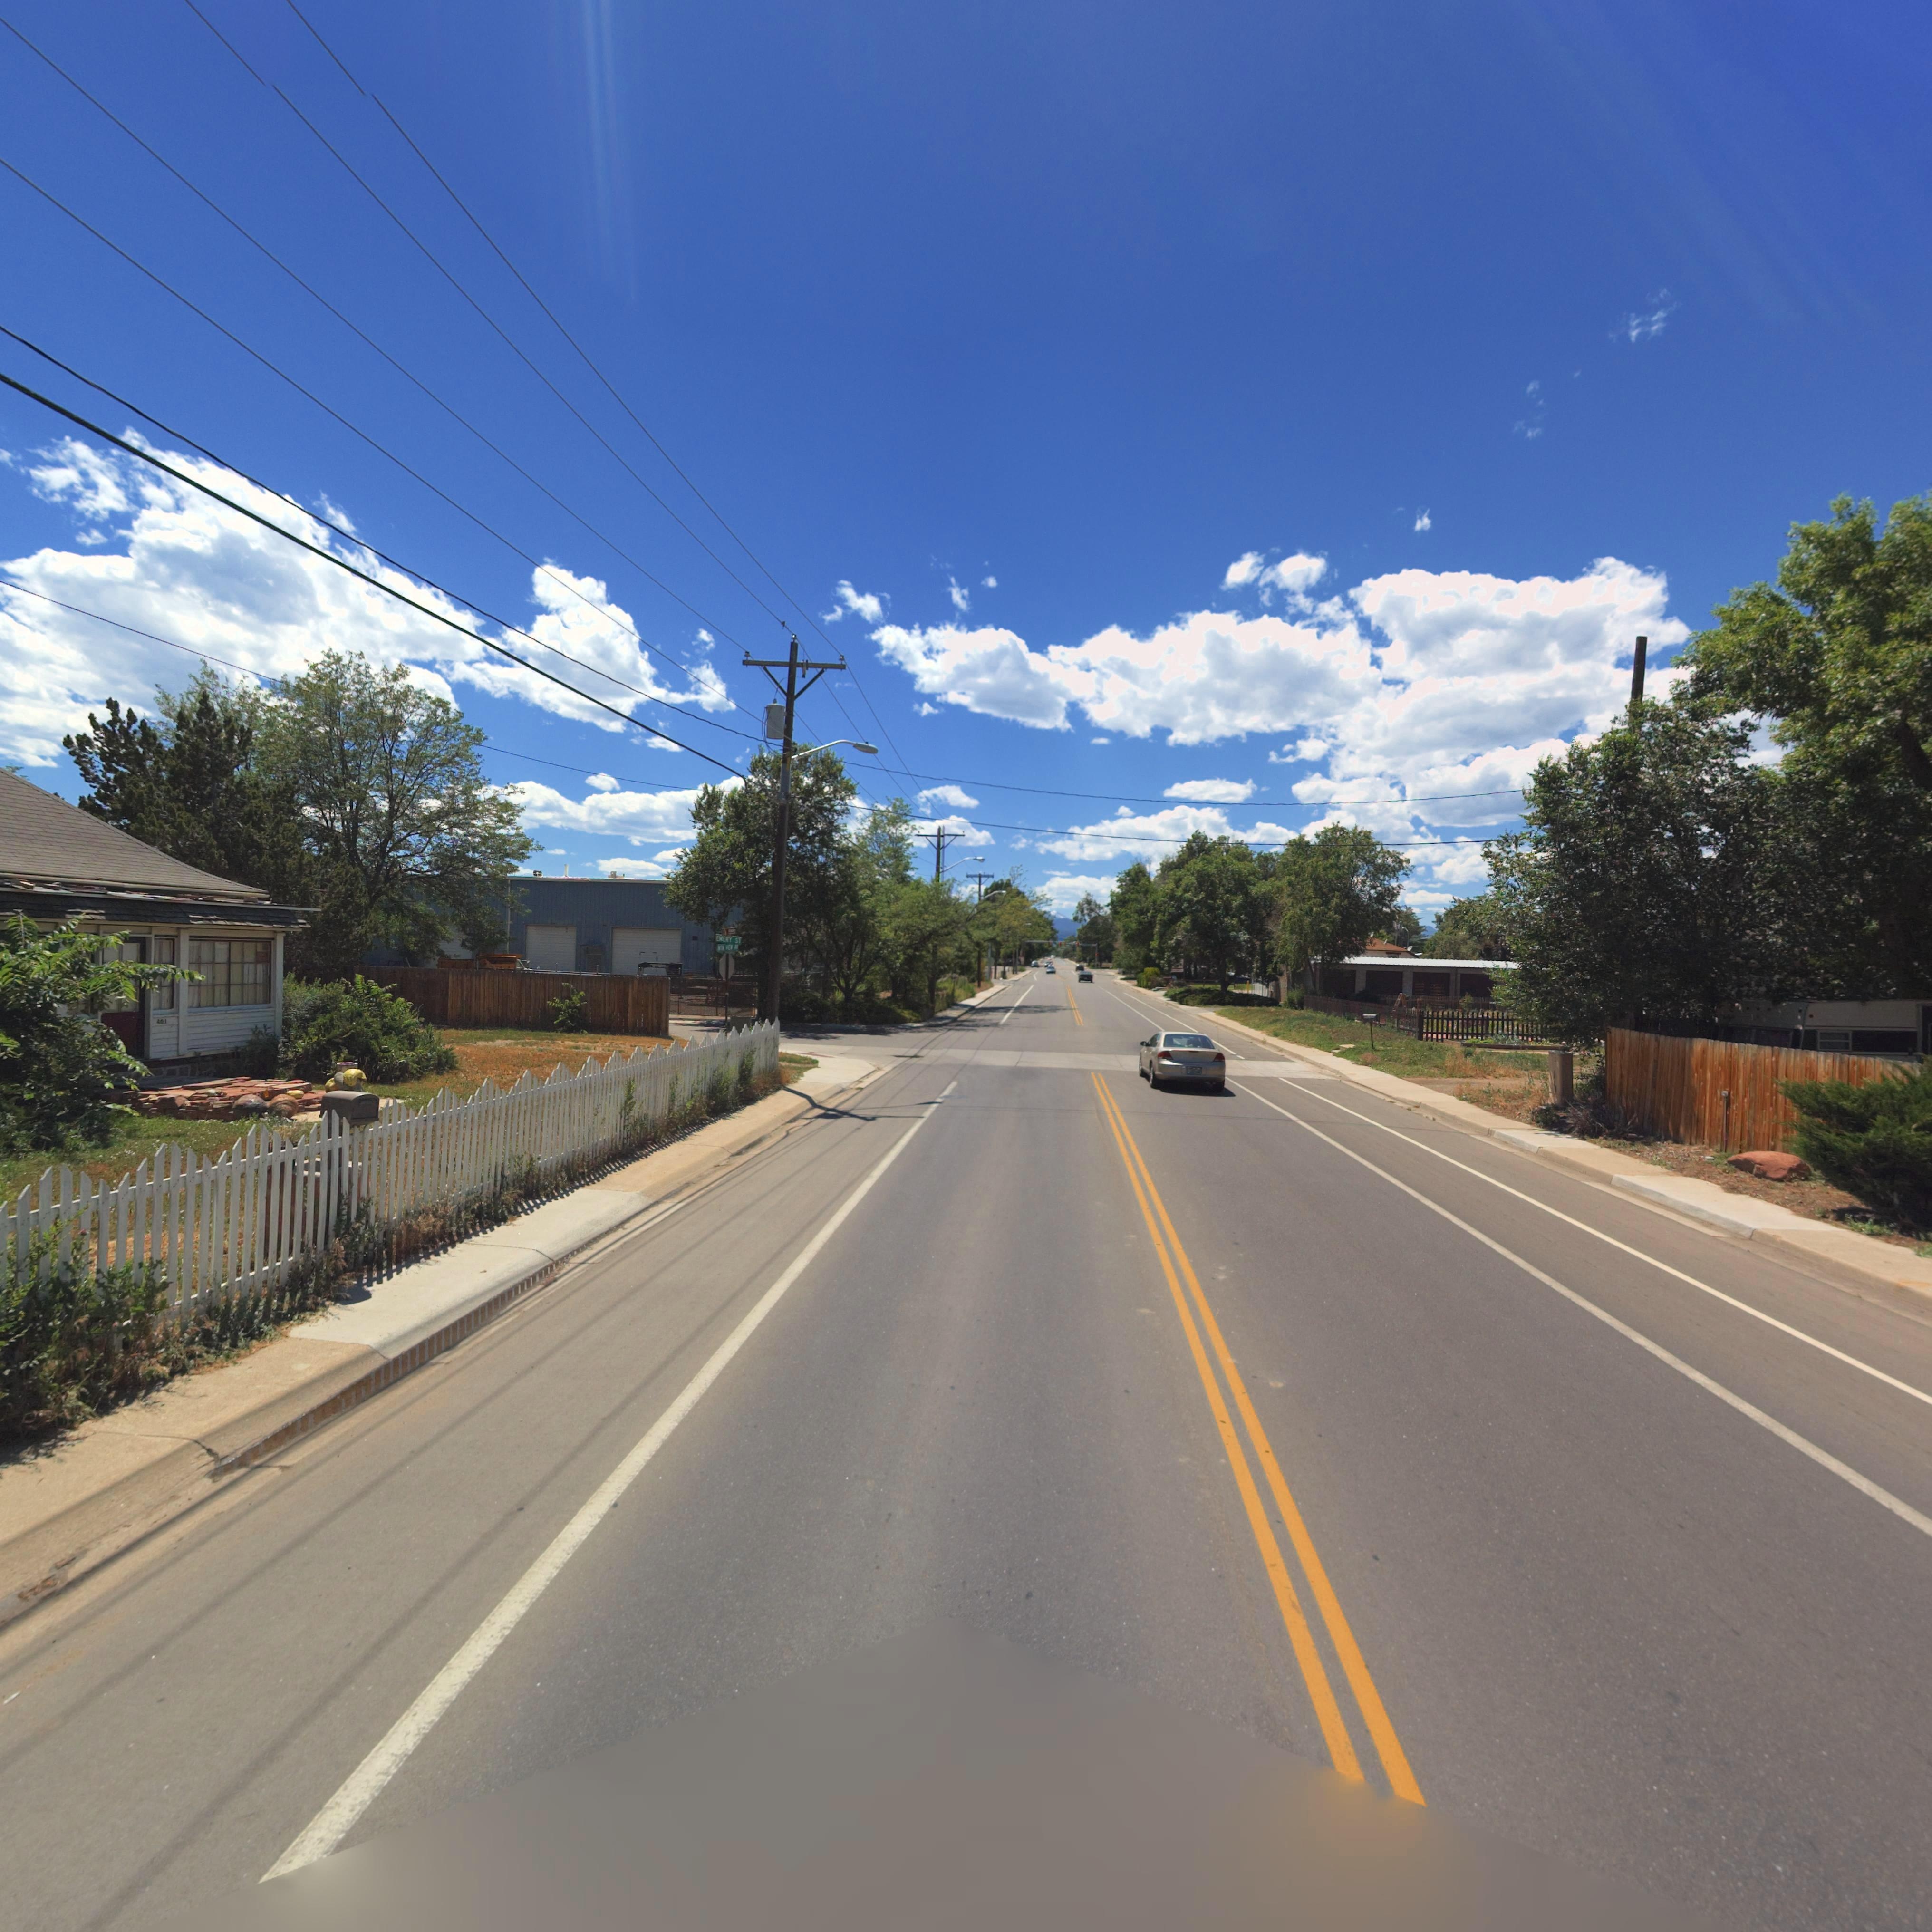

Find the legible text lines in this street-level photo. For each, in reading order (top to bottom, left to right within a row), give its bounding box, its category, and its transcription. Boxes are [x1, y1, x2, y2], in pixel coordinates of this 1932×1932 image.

[715, 935, 741, 944] StreetName: E*ERY ST
[717, 944, 739, 951] StreetName: *** **E* **
[155, 1018, 166, 1024] StreetNumber: 401